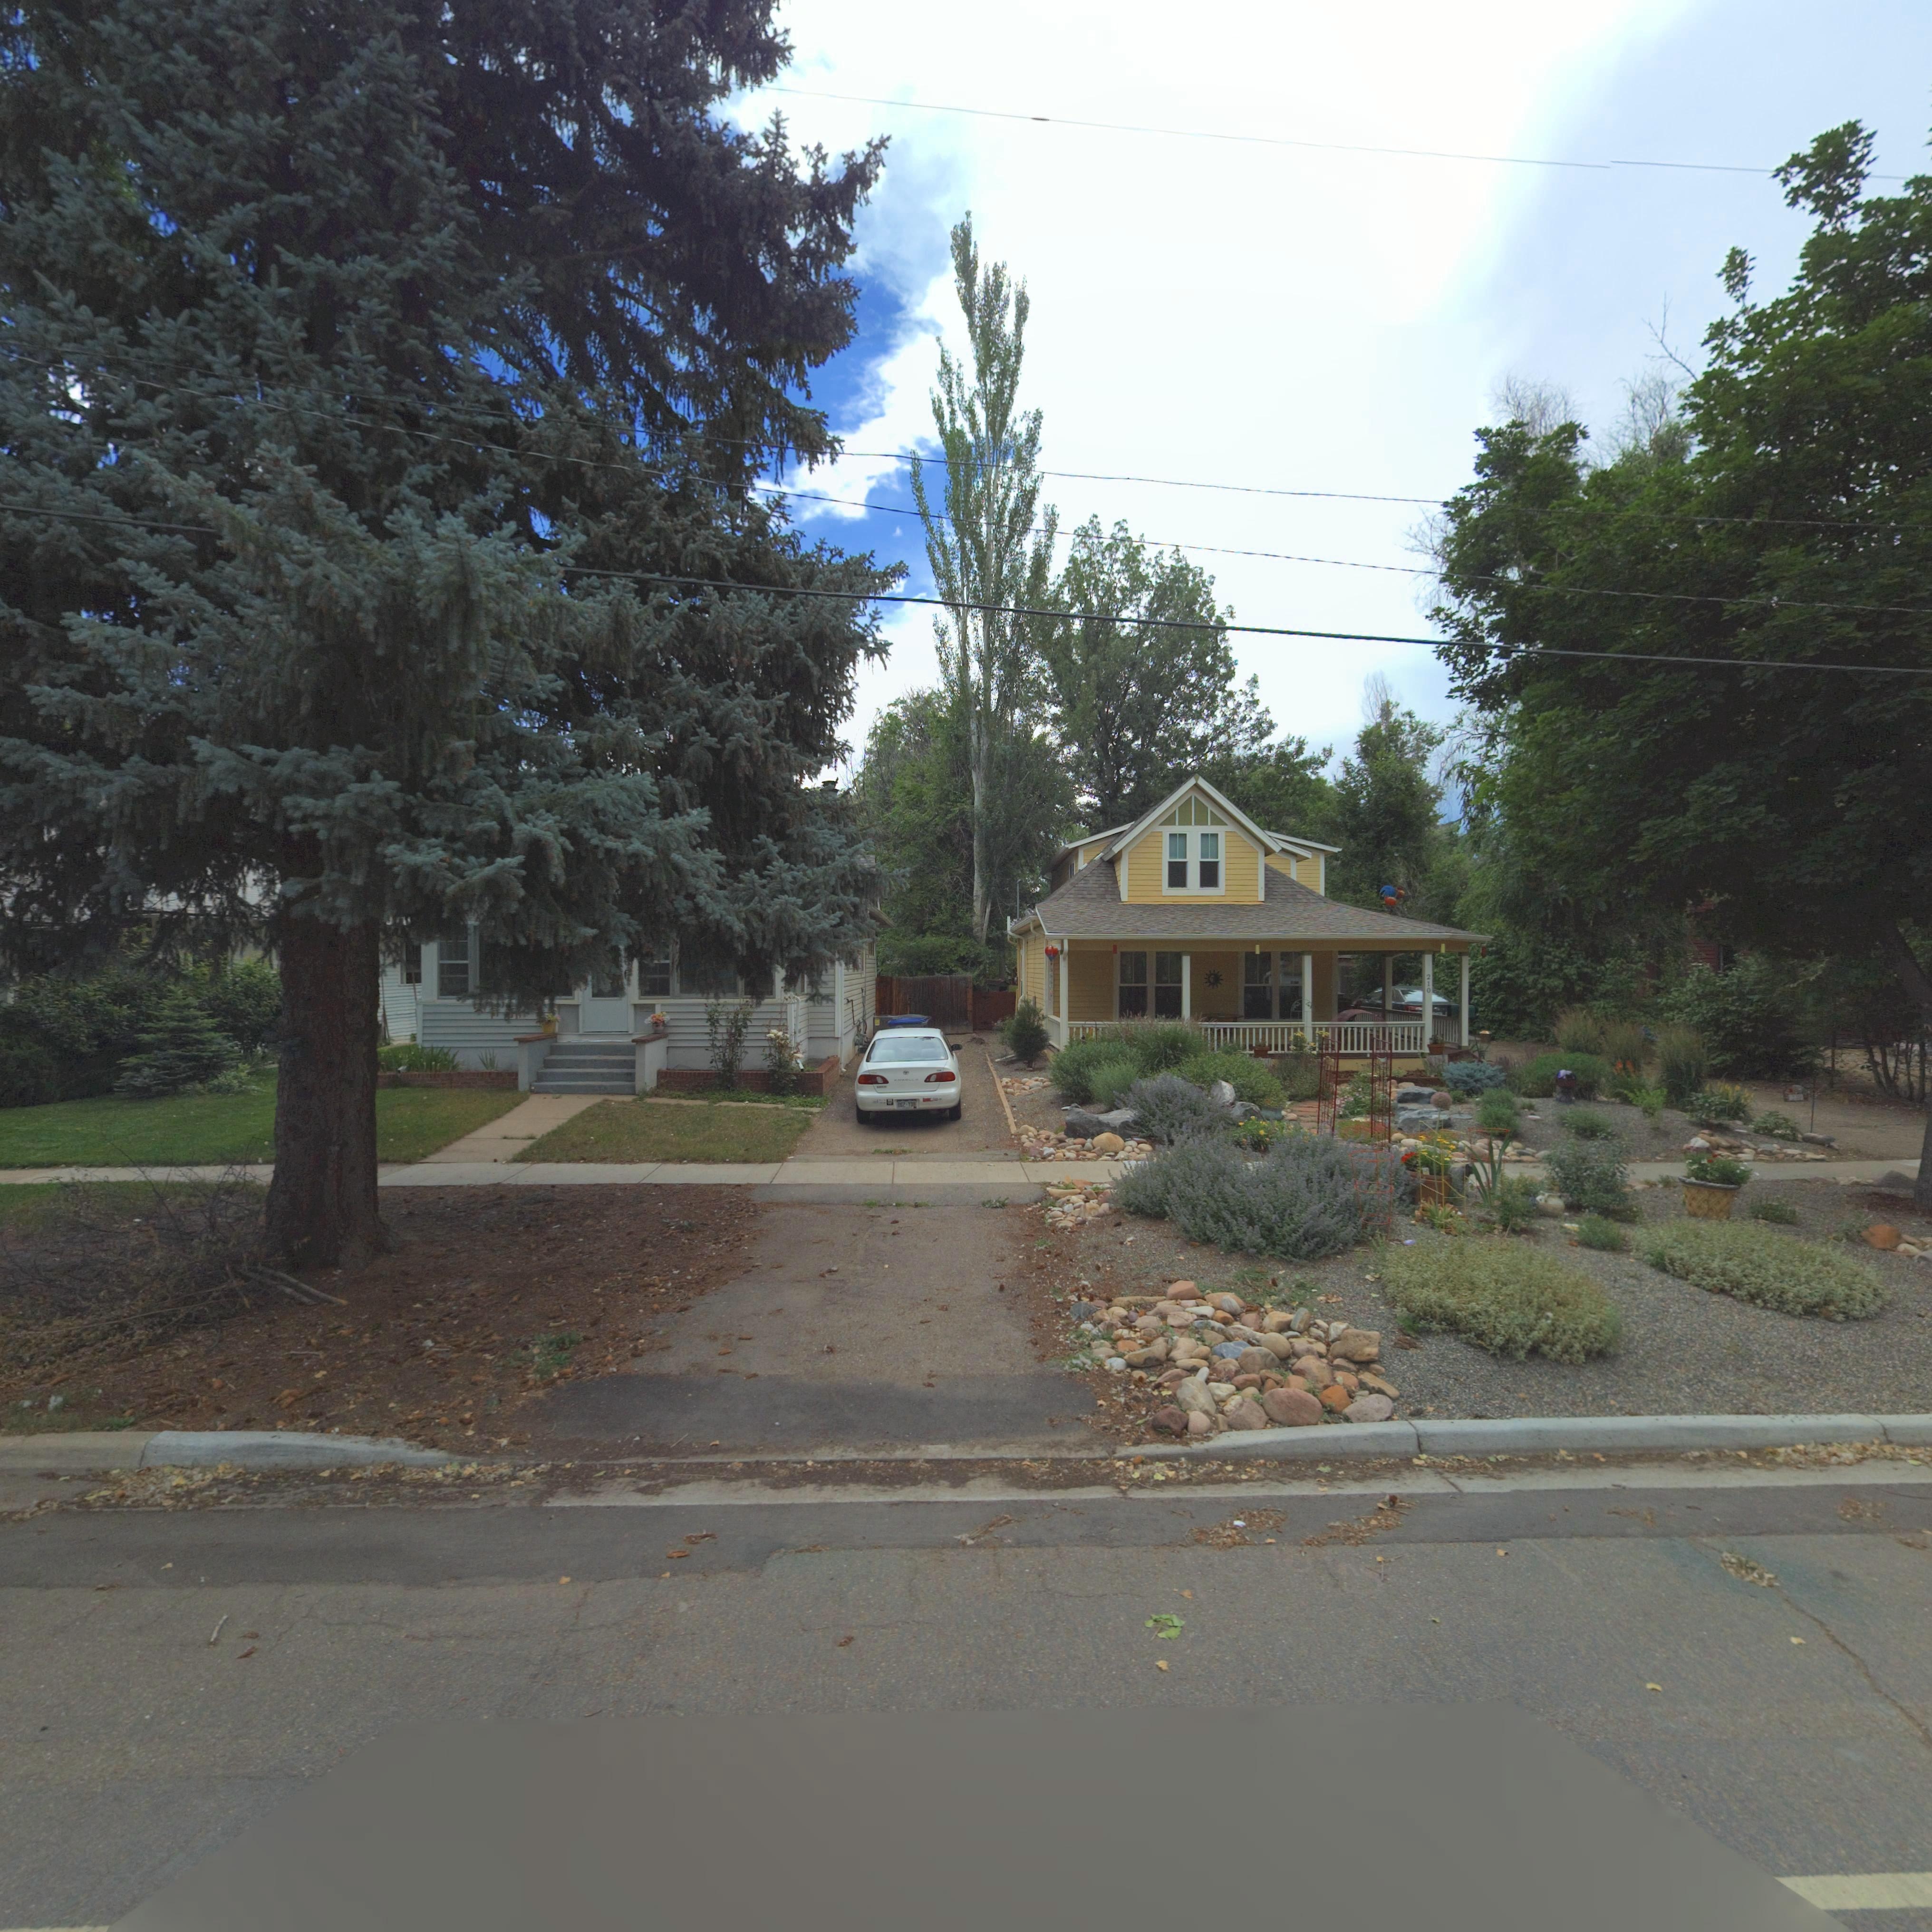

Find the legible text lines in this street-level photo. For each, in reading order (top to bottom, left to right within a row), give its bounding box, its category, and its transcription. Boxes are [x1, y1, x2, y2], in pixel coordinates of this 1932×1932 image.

[1426, 973, 1430, 994] StreetNumber: 210
[1790, 1094, 1802, 1101] StreetNumber: 2**